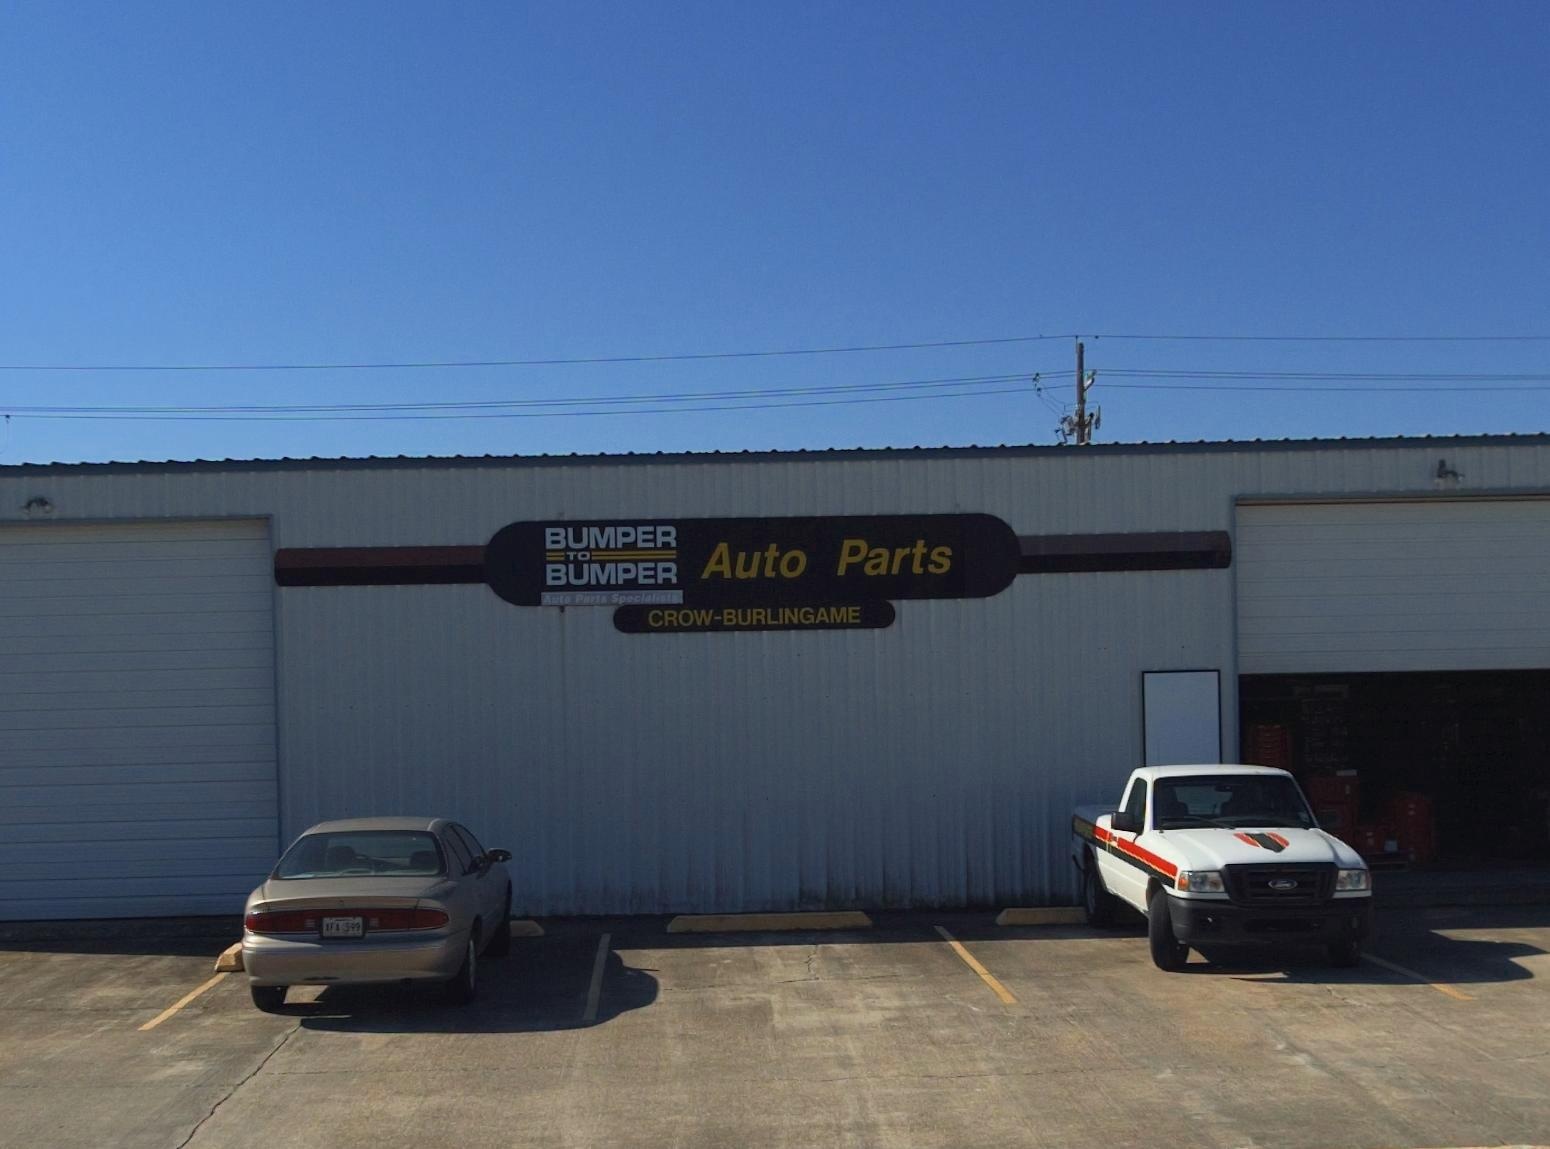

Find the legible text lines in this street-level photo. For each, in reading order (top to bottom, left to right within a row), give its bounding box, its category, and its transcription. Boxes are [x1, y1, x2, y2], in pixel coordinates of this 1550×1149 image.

[543, 523, 679, 551] BusinessName: BUMPER
[564, 549, 592, 562] BusinessName: TO
[696, 536, 956, 582] BusinessName: Auto Parts
[543, 559, 679, 587] BusinessName: BUMPER
[539, 590, 668, 608] None: Auto Parts Specialis
[645, 604, 864, 631] None: CROW-BURLINGAME
[348, 920, 362, 934] None: 99